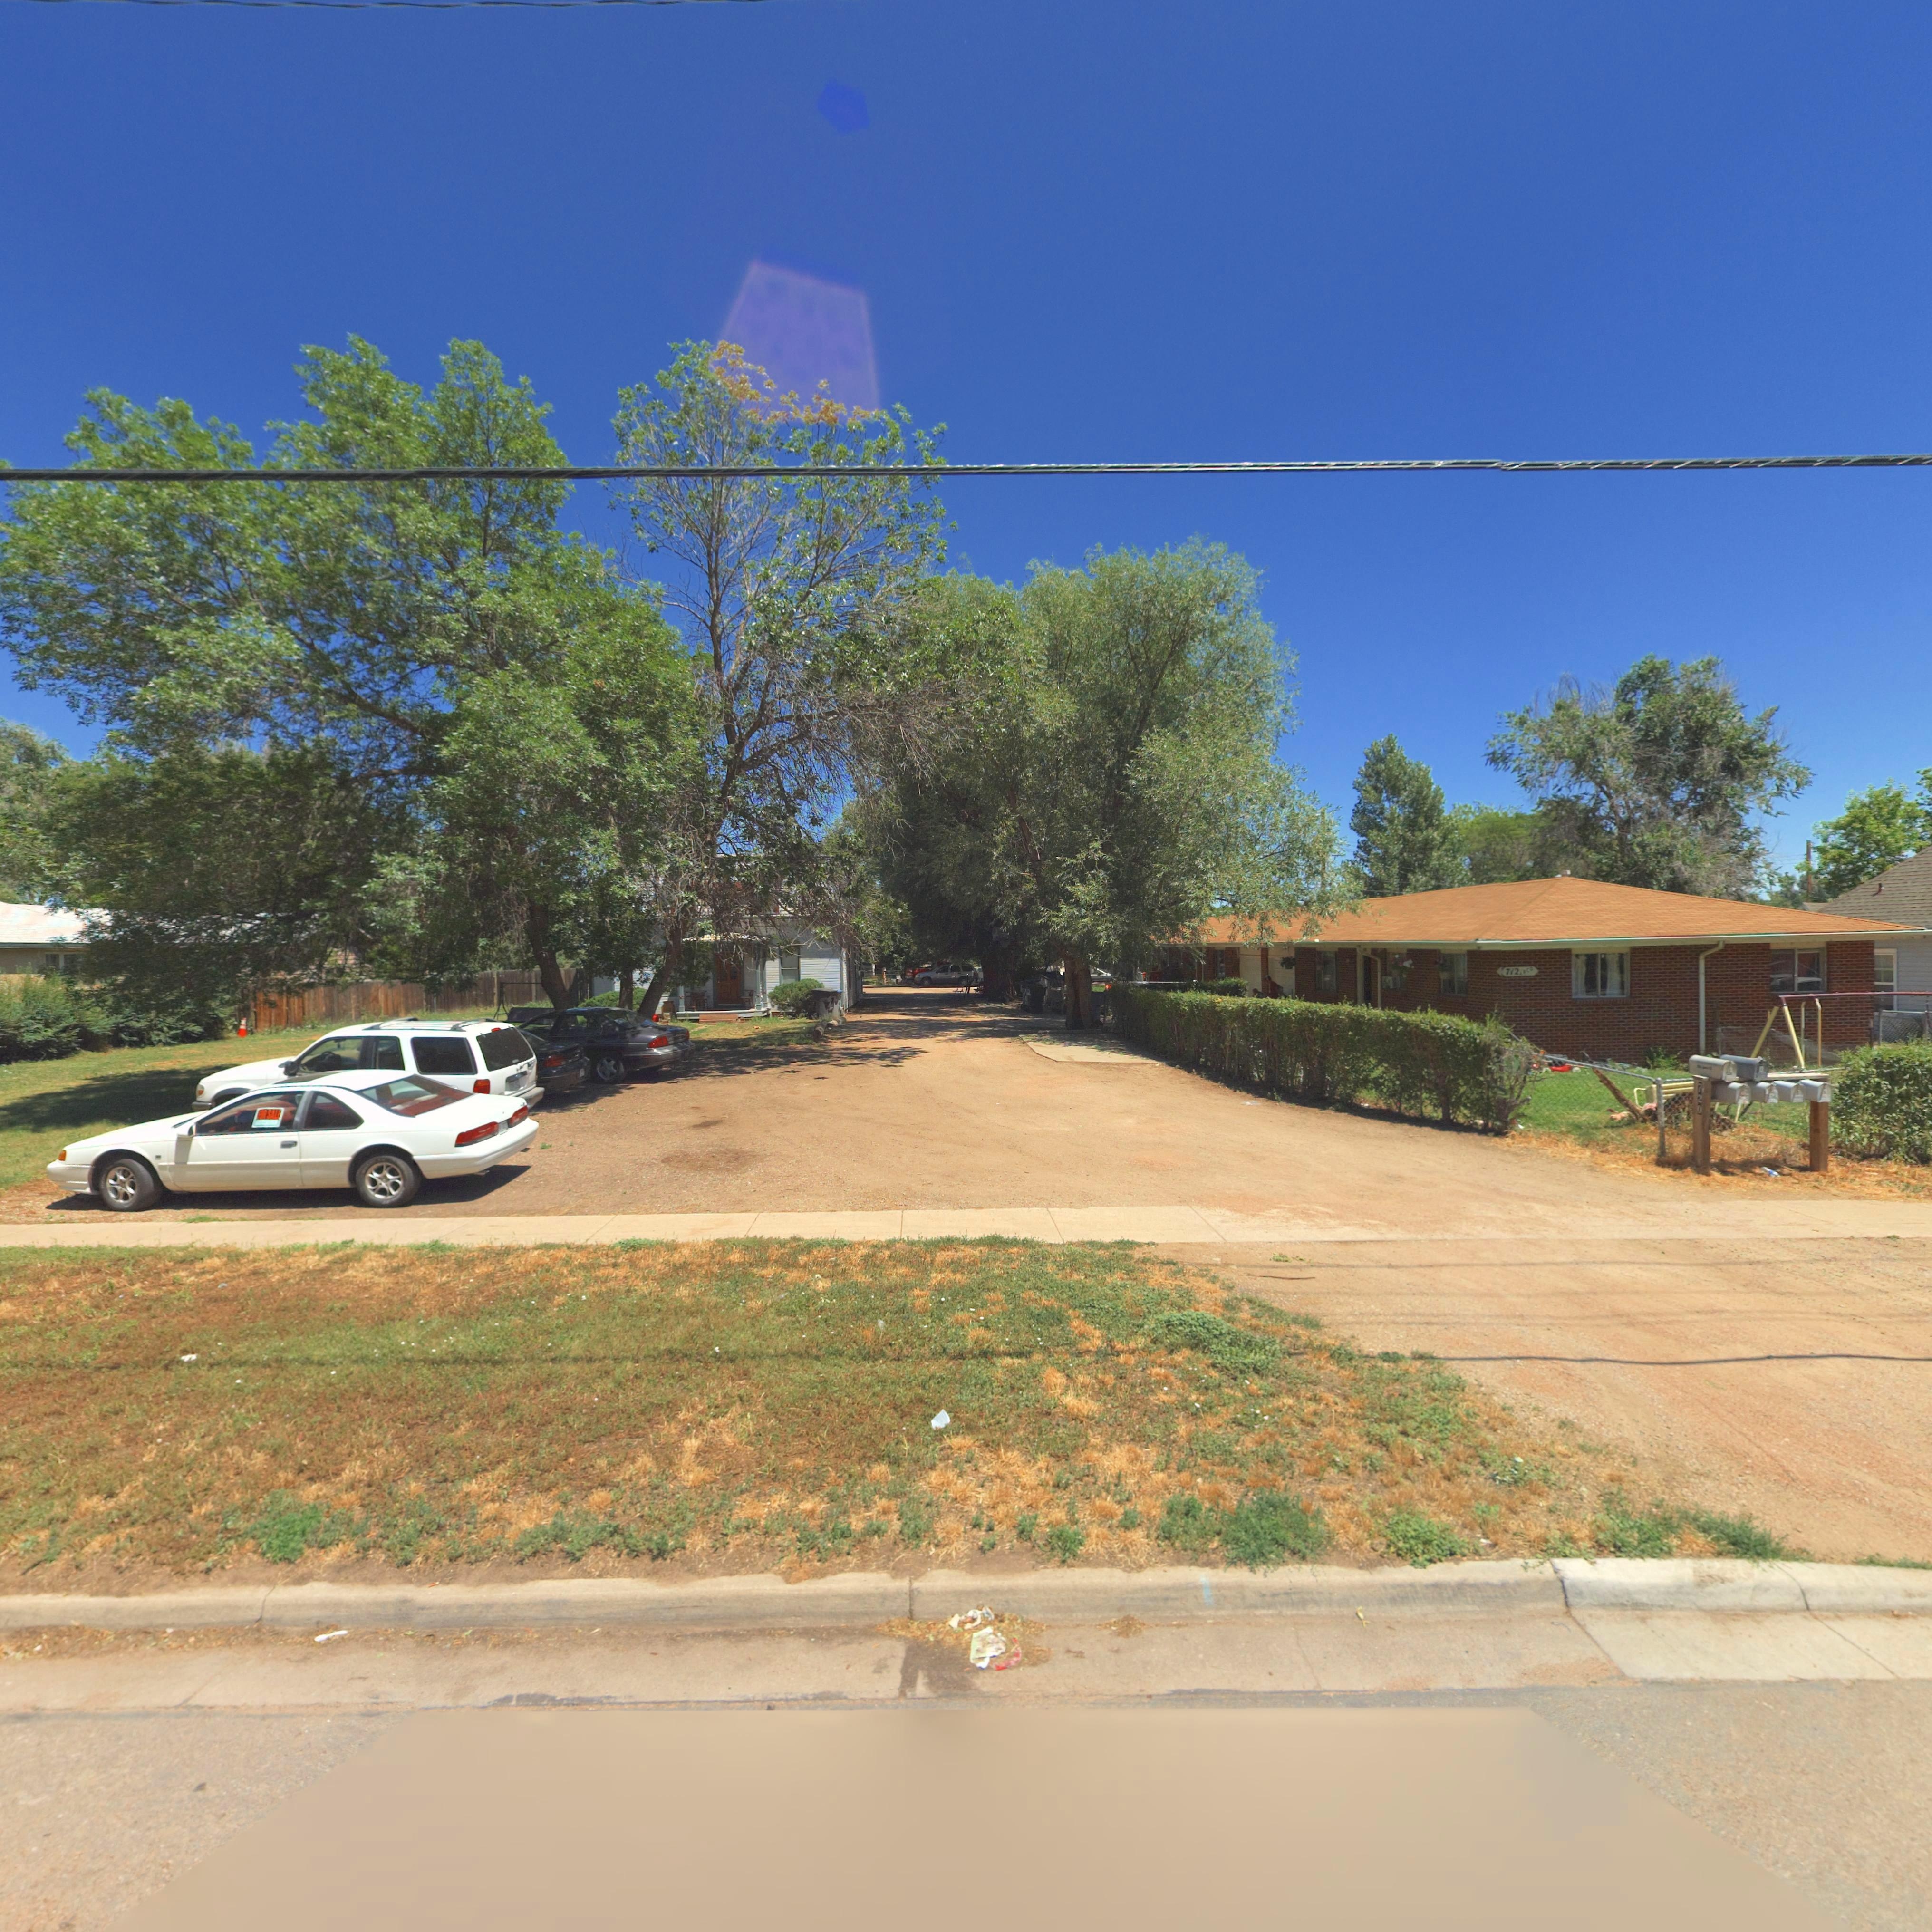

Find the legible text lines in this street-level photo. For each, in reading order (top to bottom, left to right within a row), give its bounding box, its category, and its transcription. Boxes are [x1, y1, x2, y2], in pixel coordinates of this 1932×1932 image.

[1506, 968, 1519, 975] StreetNumber: 712
[1697, 1083, 1702, 1114] StreetNumber: 720